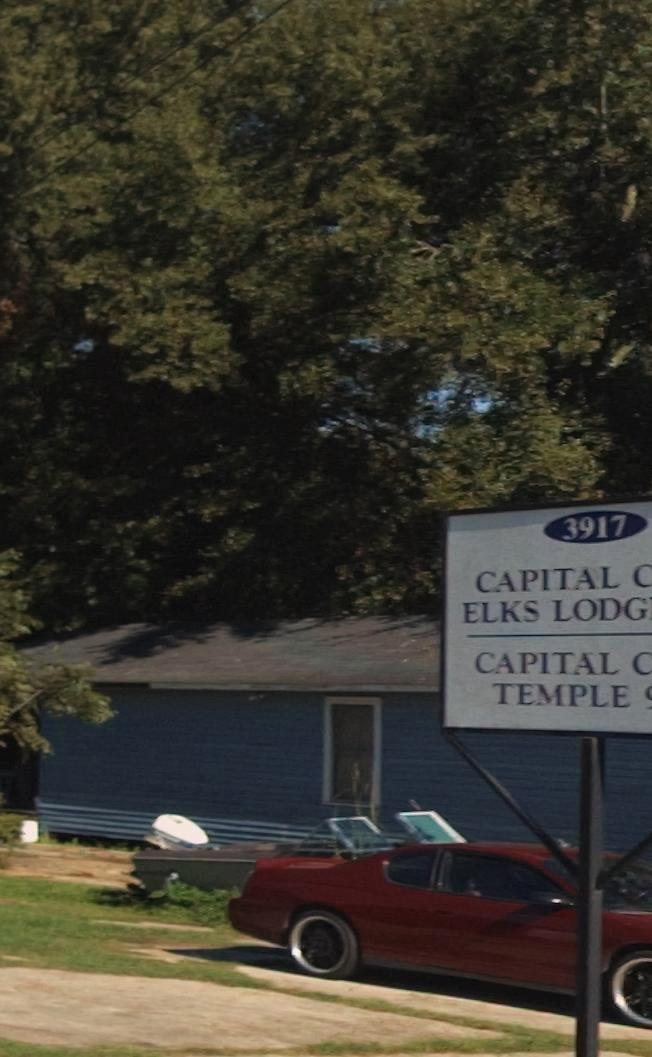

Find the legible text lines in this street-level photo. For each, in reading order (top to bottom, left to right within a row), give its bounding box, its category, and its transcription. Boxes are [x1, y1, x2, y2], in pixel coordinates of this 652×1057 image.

[558, 510, 634, 544] StreetNumber: 3917
[472, 562, 626, 597] BusinessName: CAPITAL
[459, 594, 650, 626] BusinessName: ELKS LODG
[471, 647, 624, 679] BusinessName: CAPITAL
[489, 681, 634, 711] BusinessName: TEMPLE